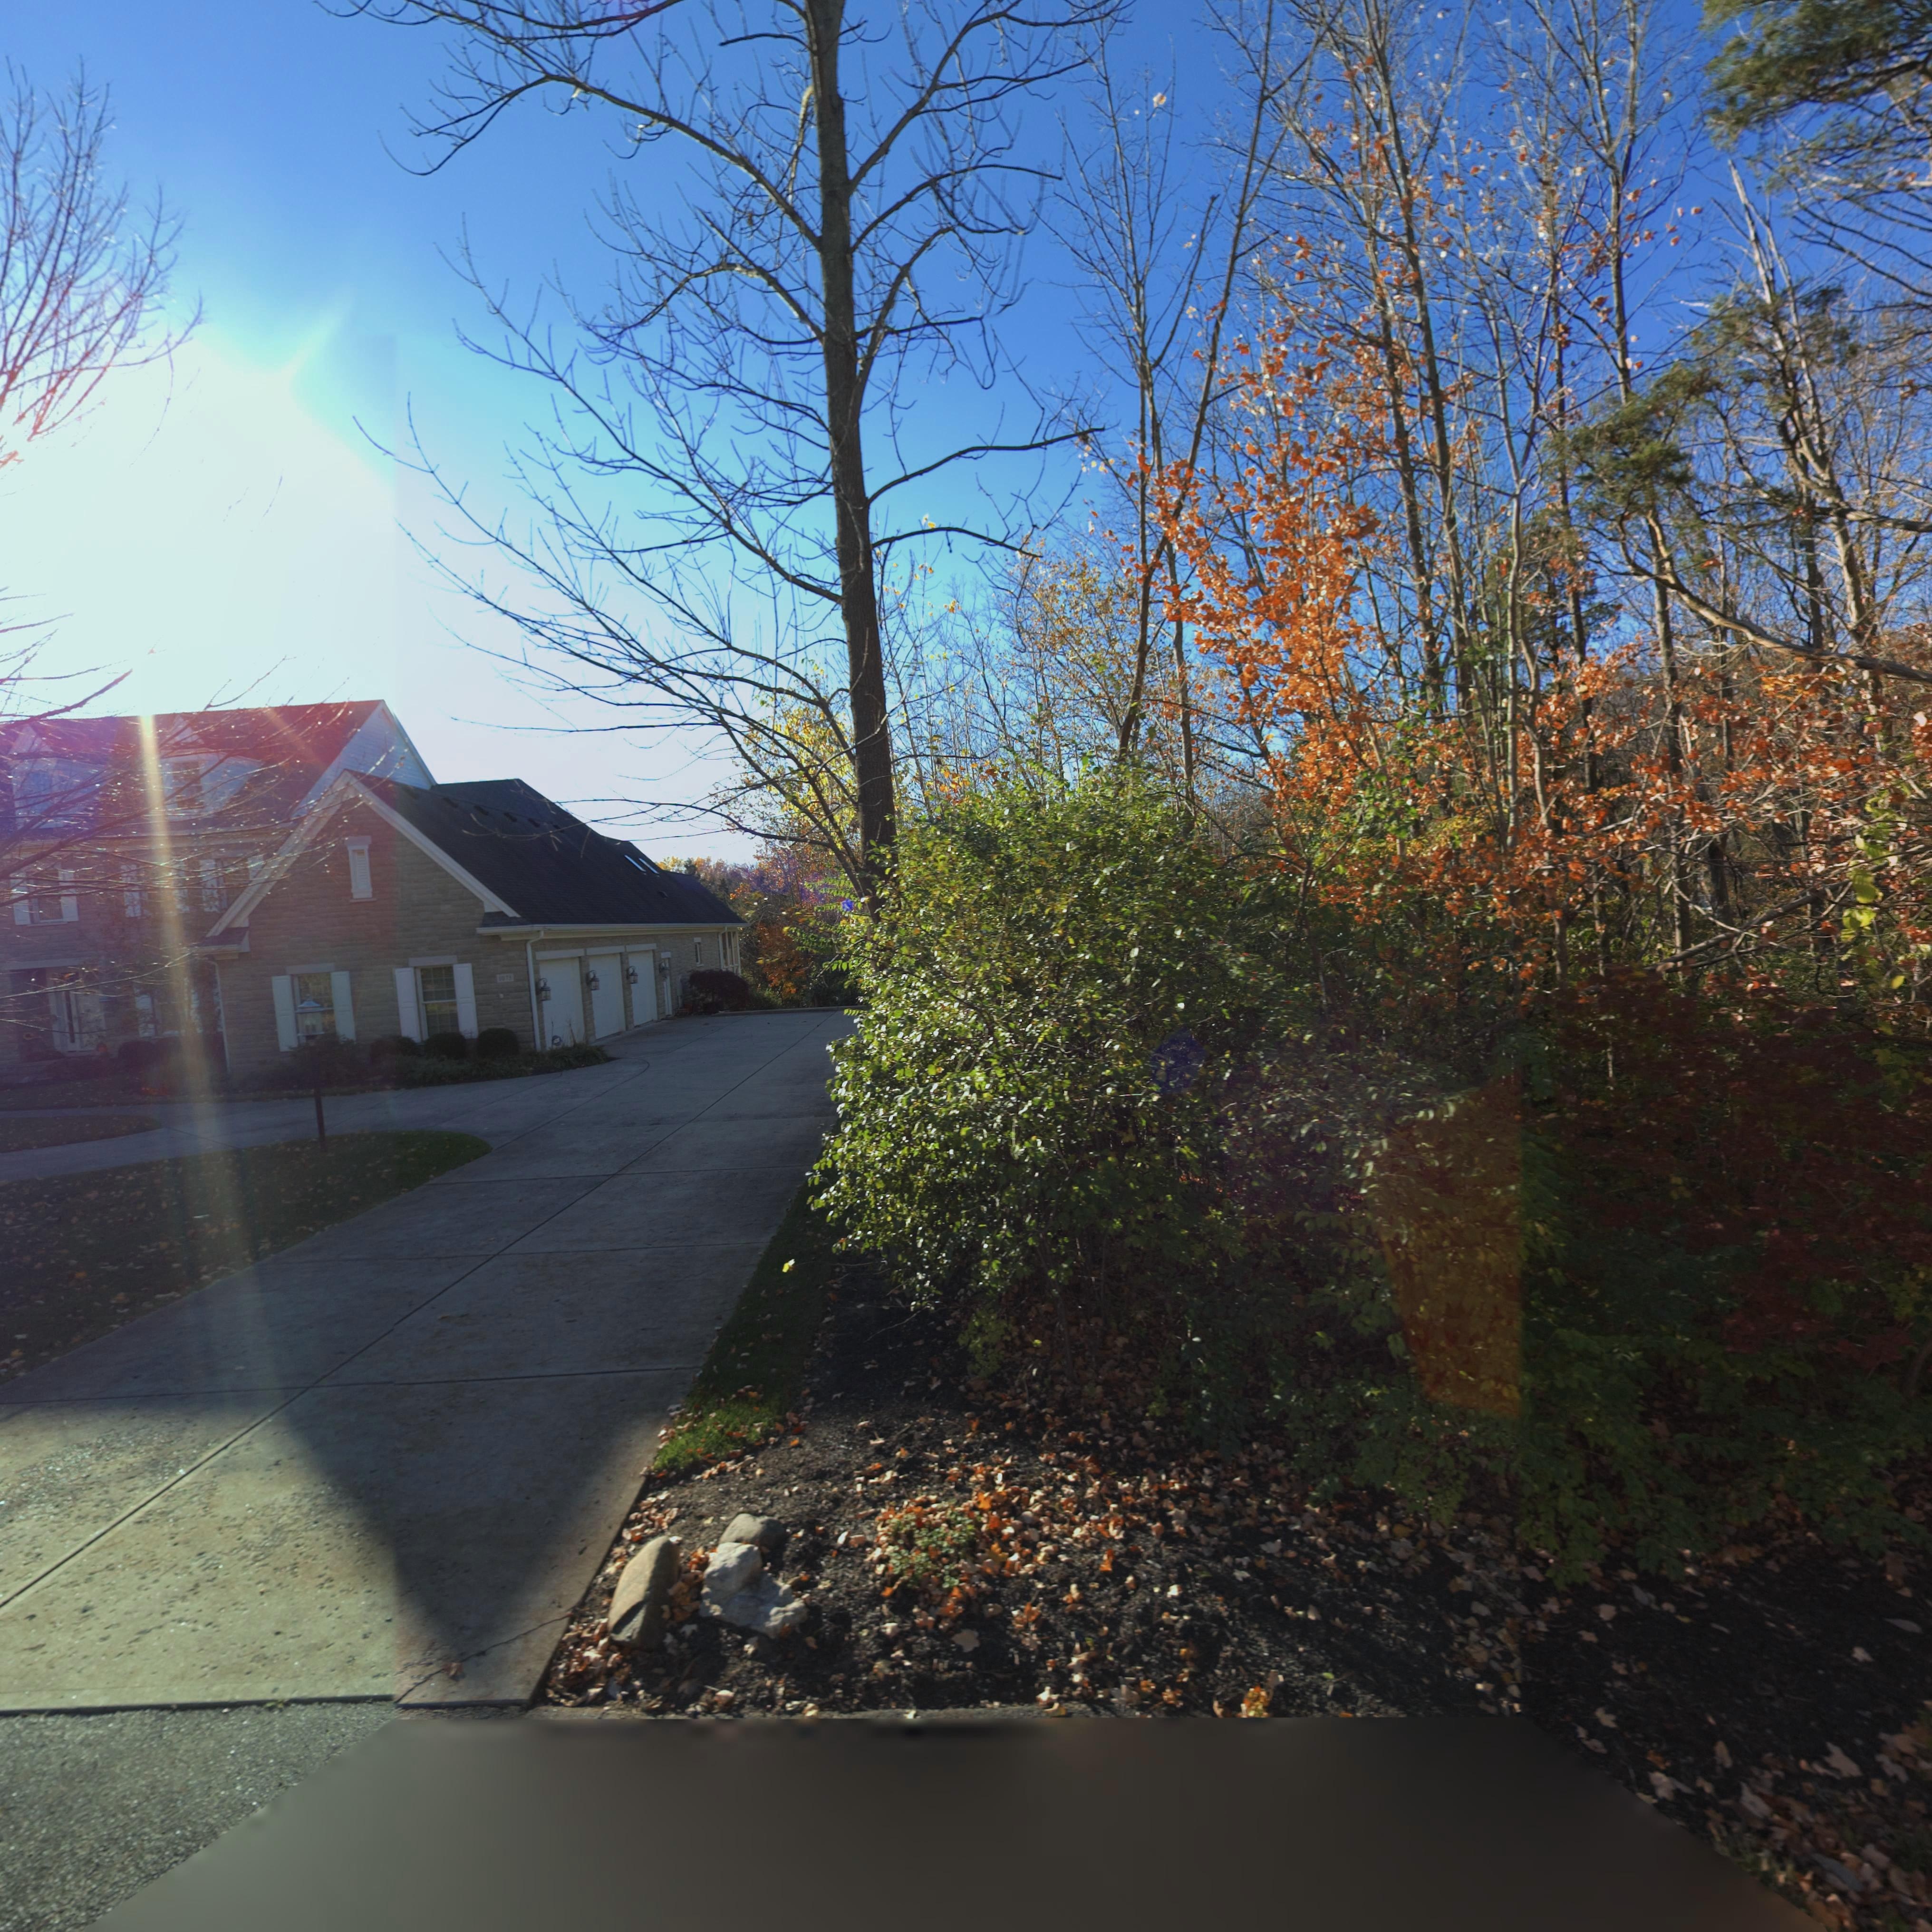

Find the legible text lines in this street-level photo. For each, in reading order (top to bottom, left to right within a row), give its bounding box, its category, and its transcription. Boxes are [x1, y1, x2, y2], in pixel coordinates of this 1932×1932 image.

[498, 975, 512, 981] StreetNumber: 1075